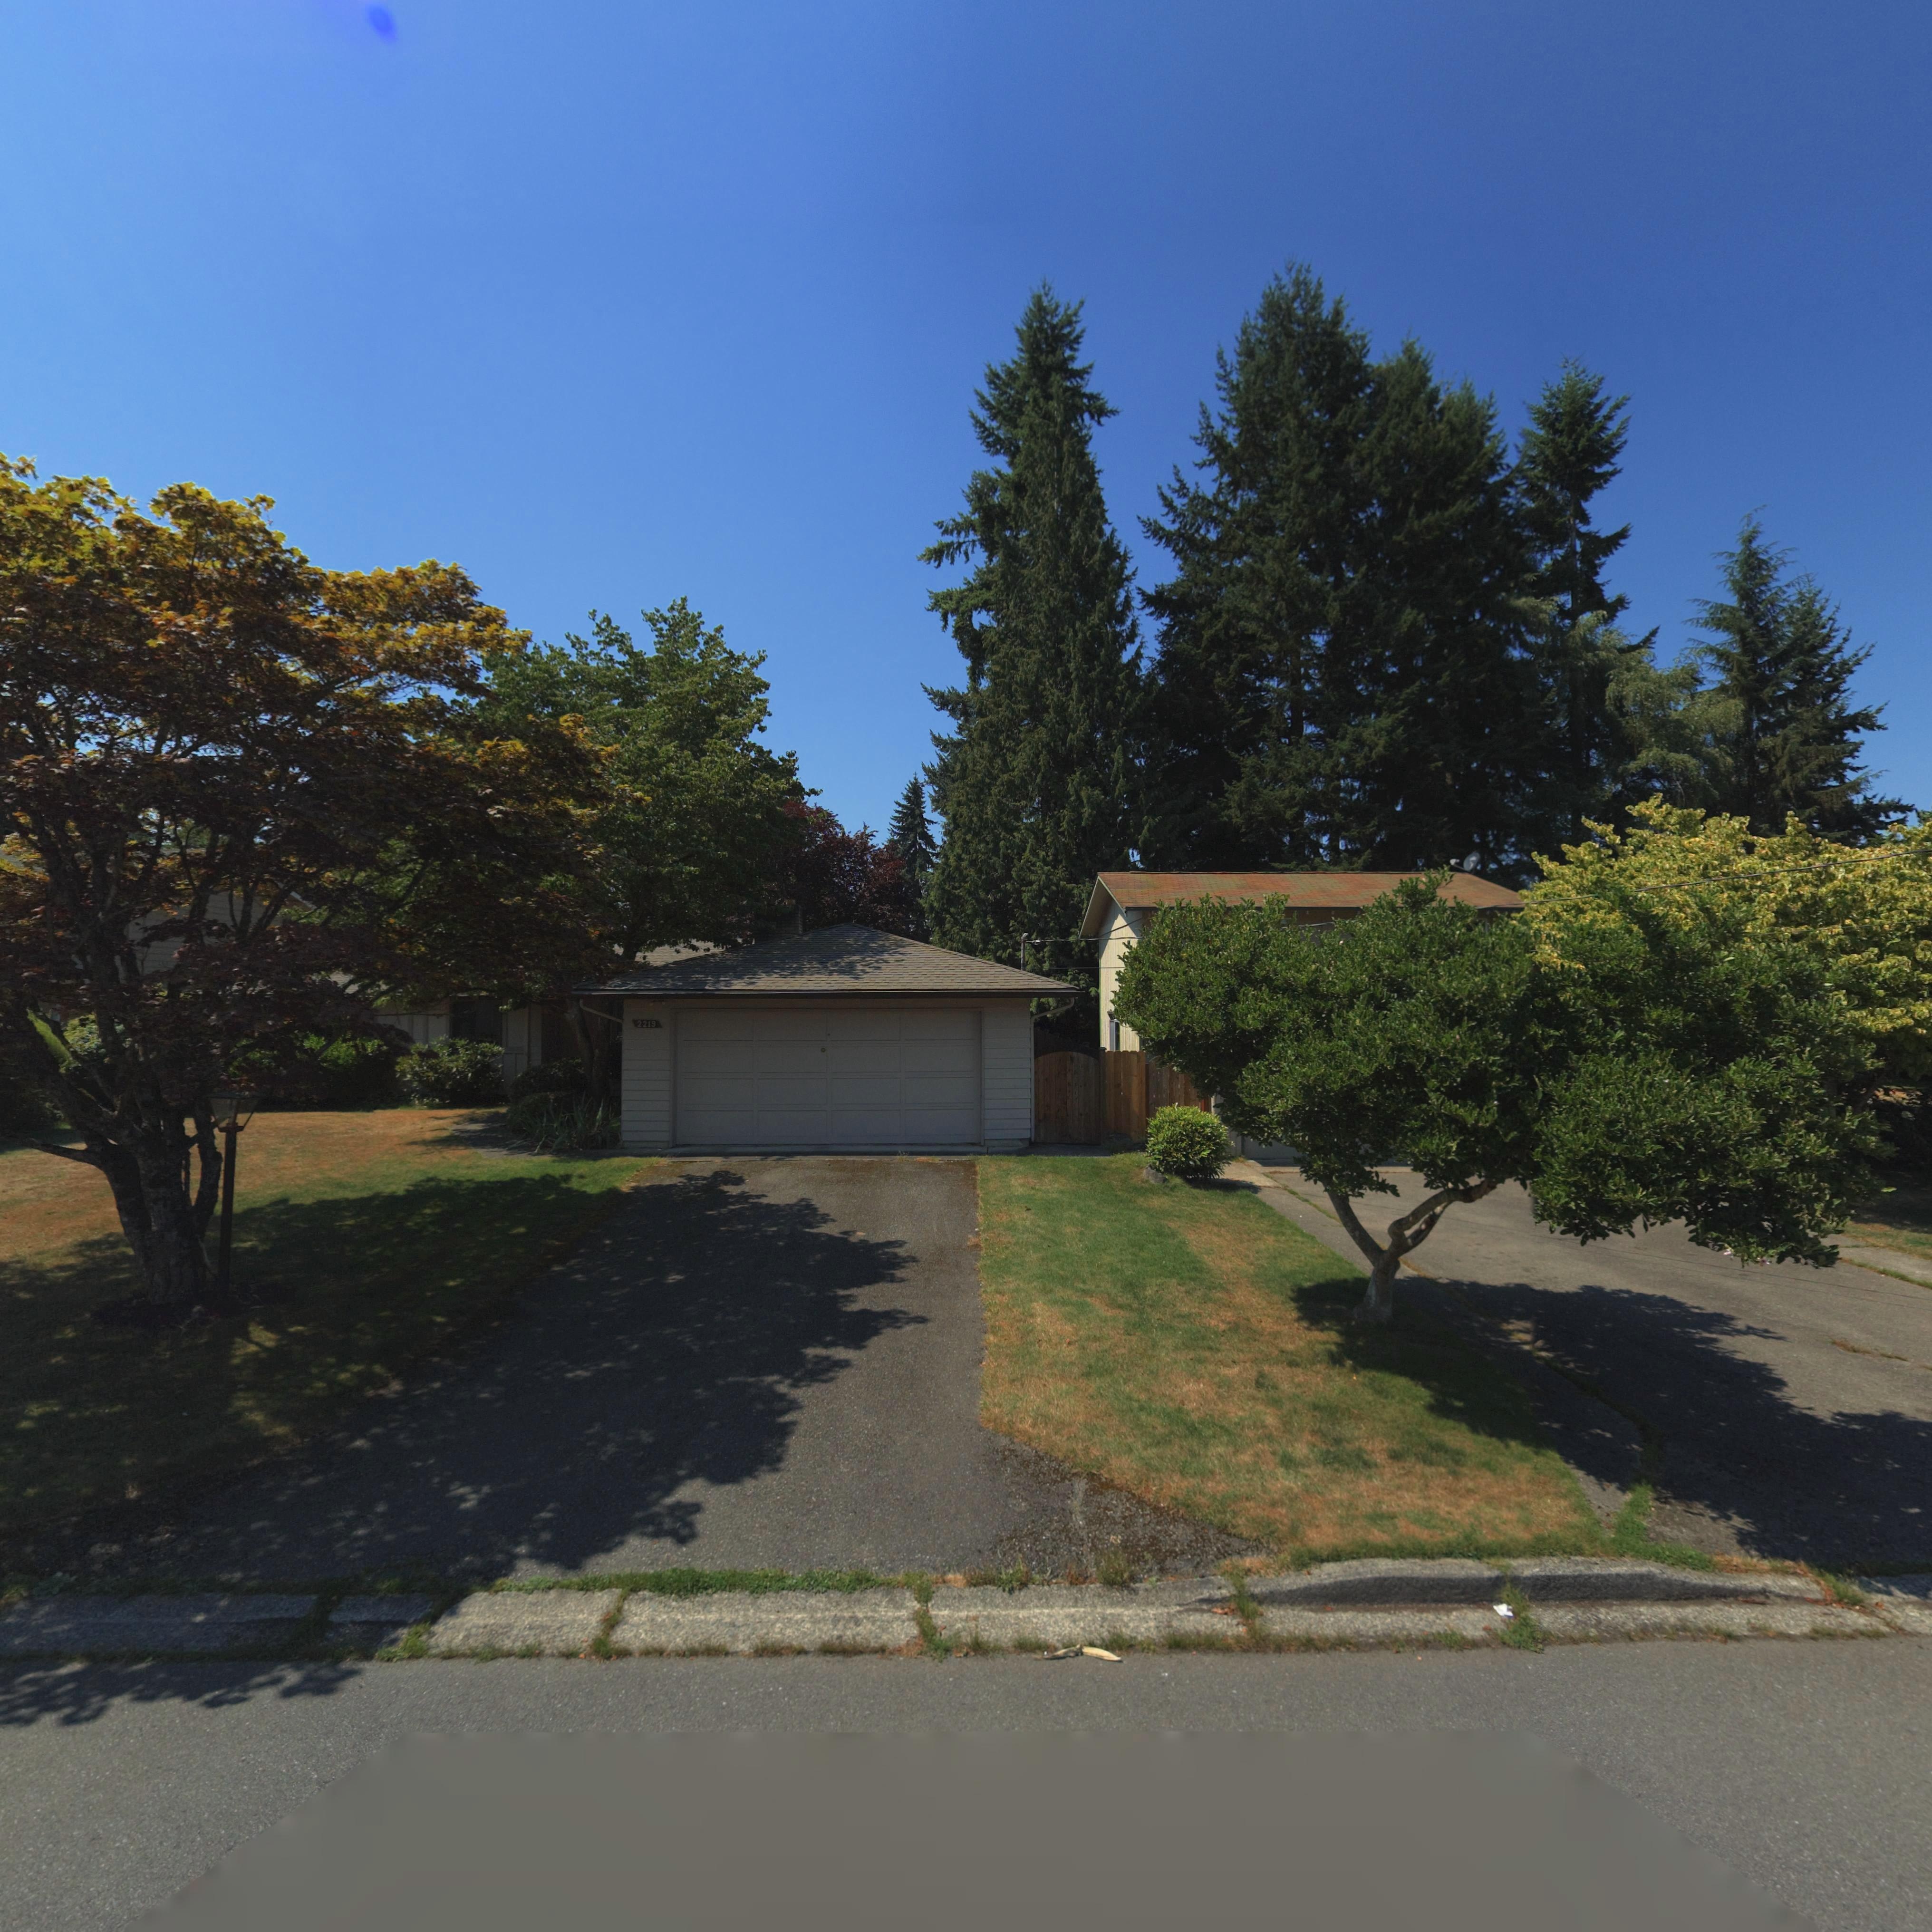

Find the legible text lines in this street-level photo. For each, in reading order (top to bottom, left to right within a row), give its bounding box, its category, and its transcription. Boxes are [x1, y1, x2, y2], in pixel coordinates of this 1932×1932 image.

[638, 1020, 657, 1027] StreetNumber: 2219